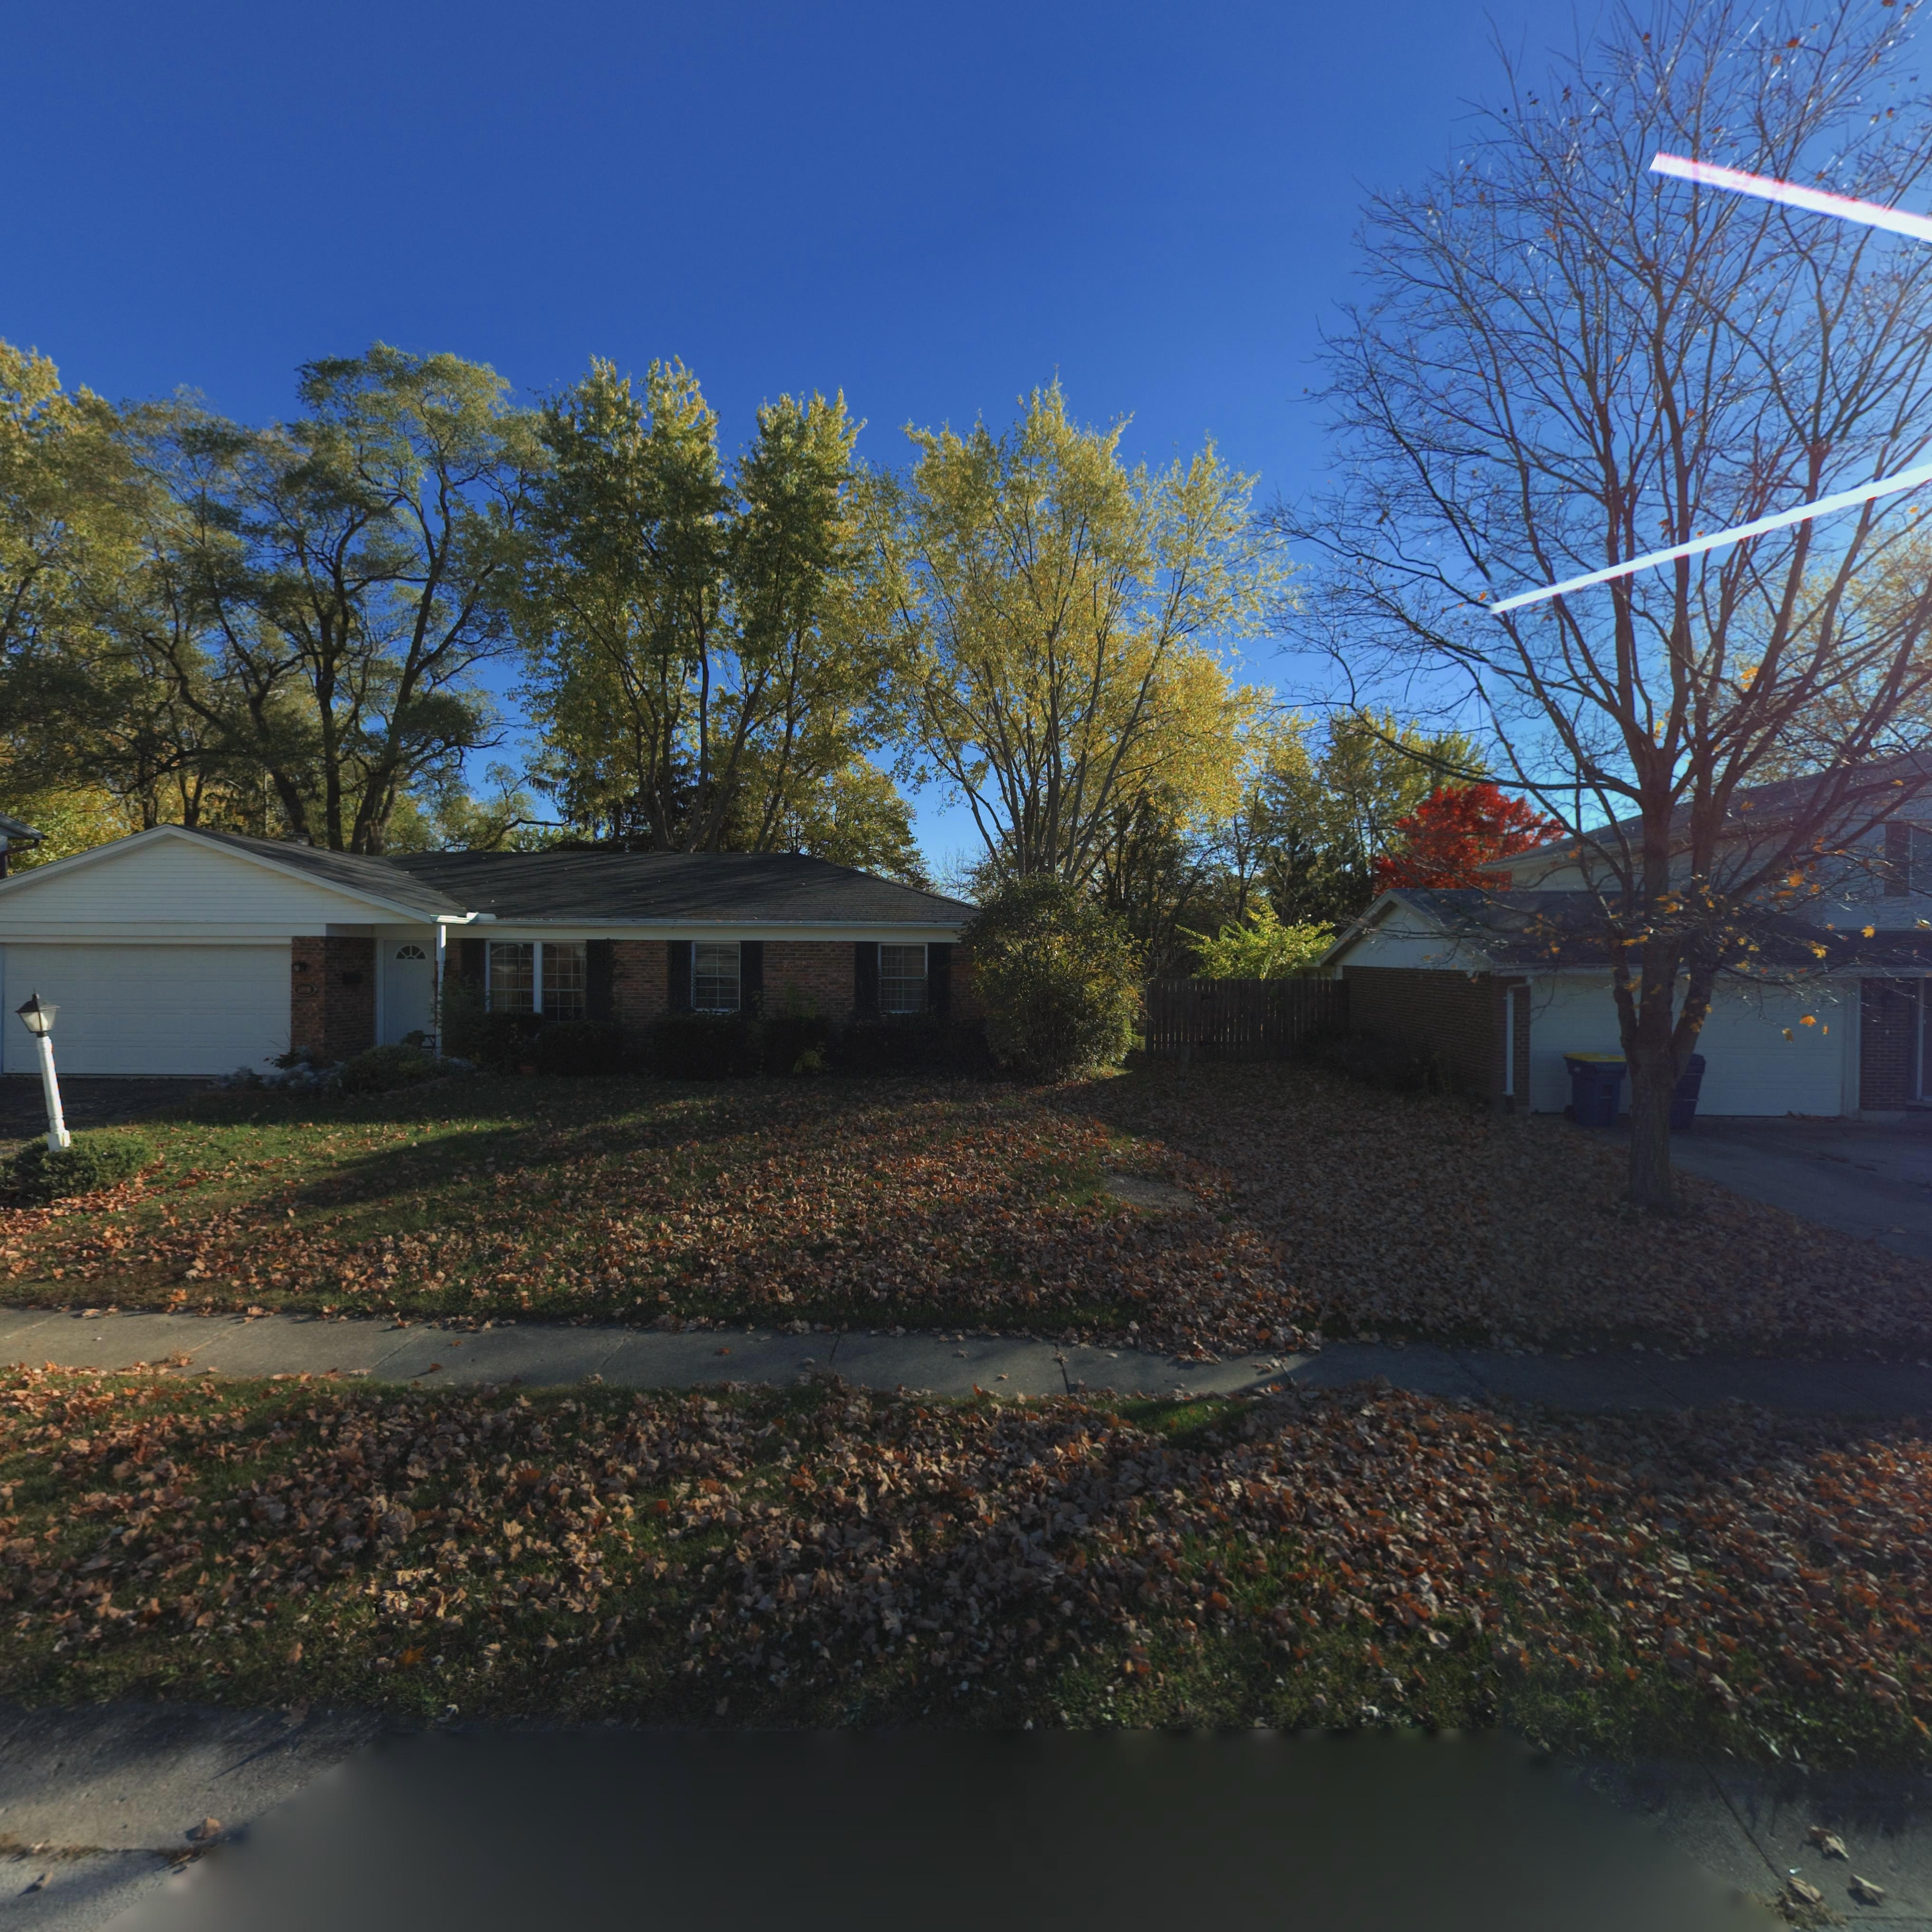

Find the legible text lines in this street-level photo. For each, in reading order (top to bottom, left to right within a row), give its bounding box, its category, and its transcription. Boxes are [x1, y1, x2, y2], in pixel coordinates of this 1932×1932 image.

[297, 985, 311, 994] StreetNumber: 5000